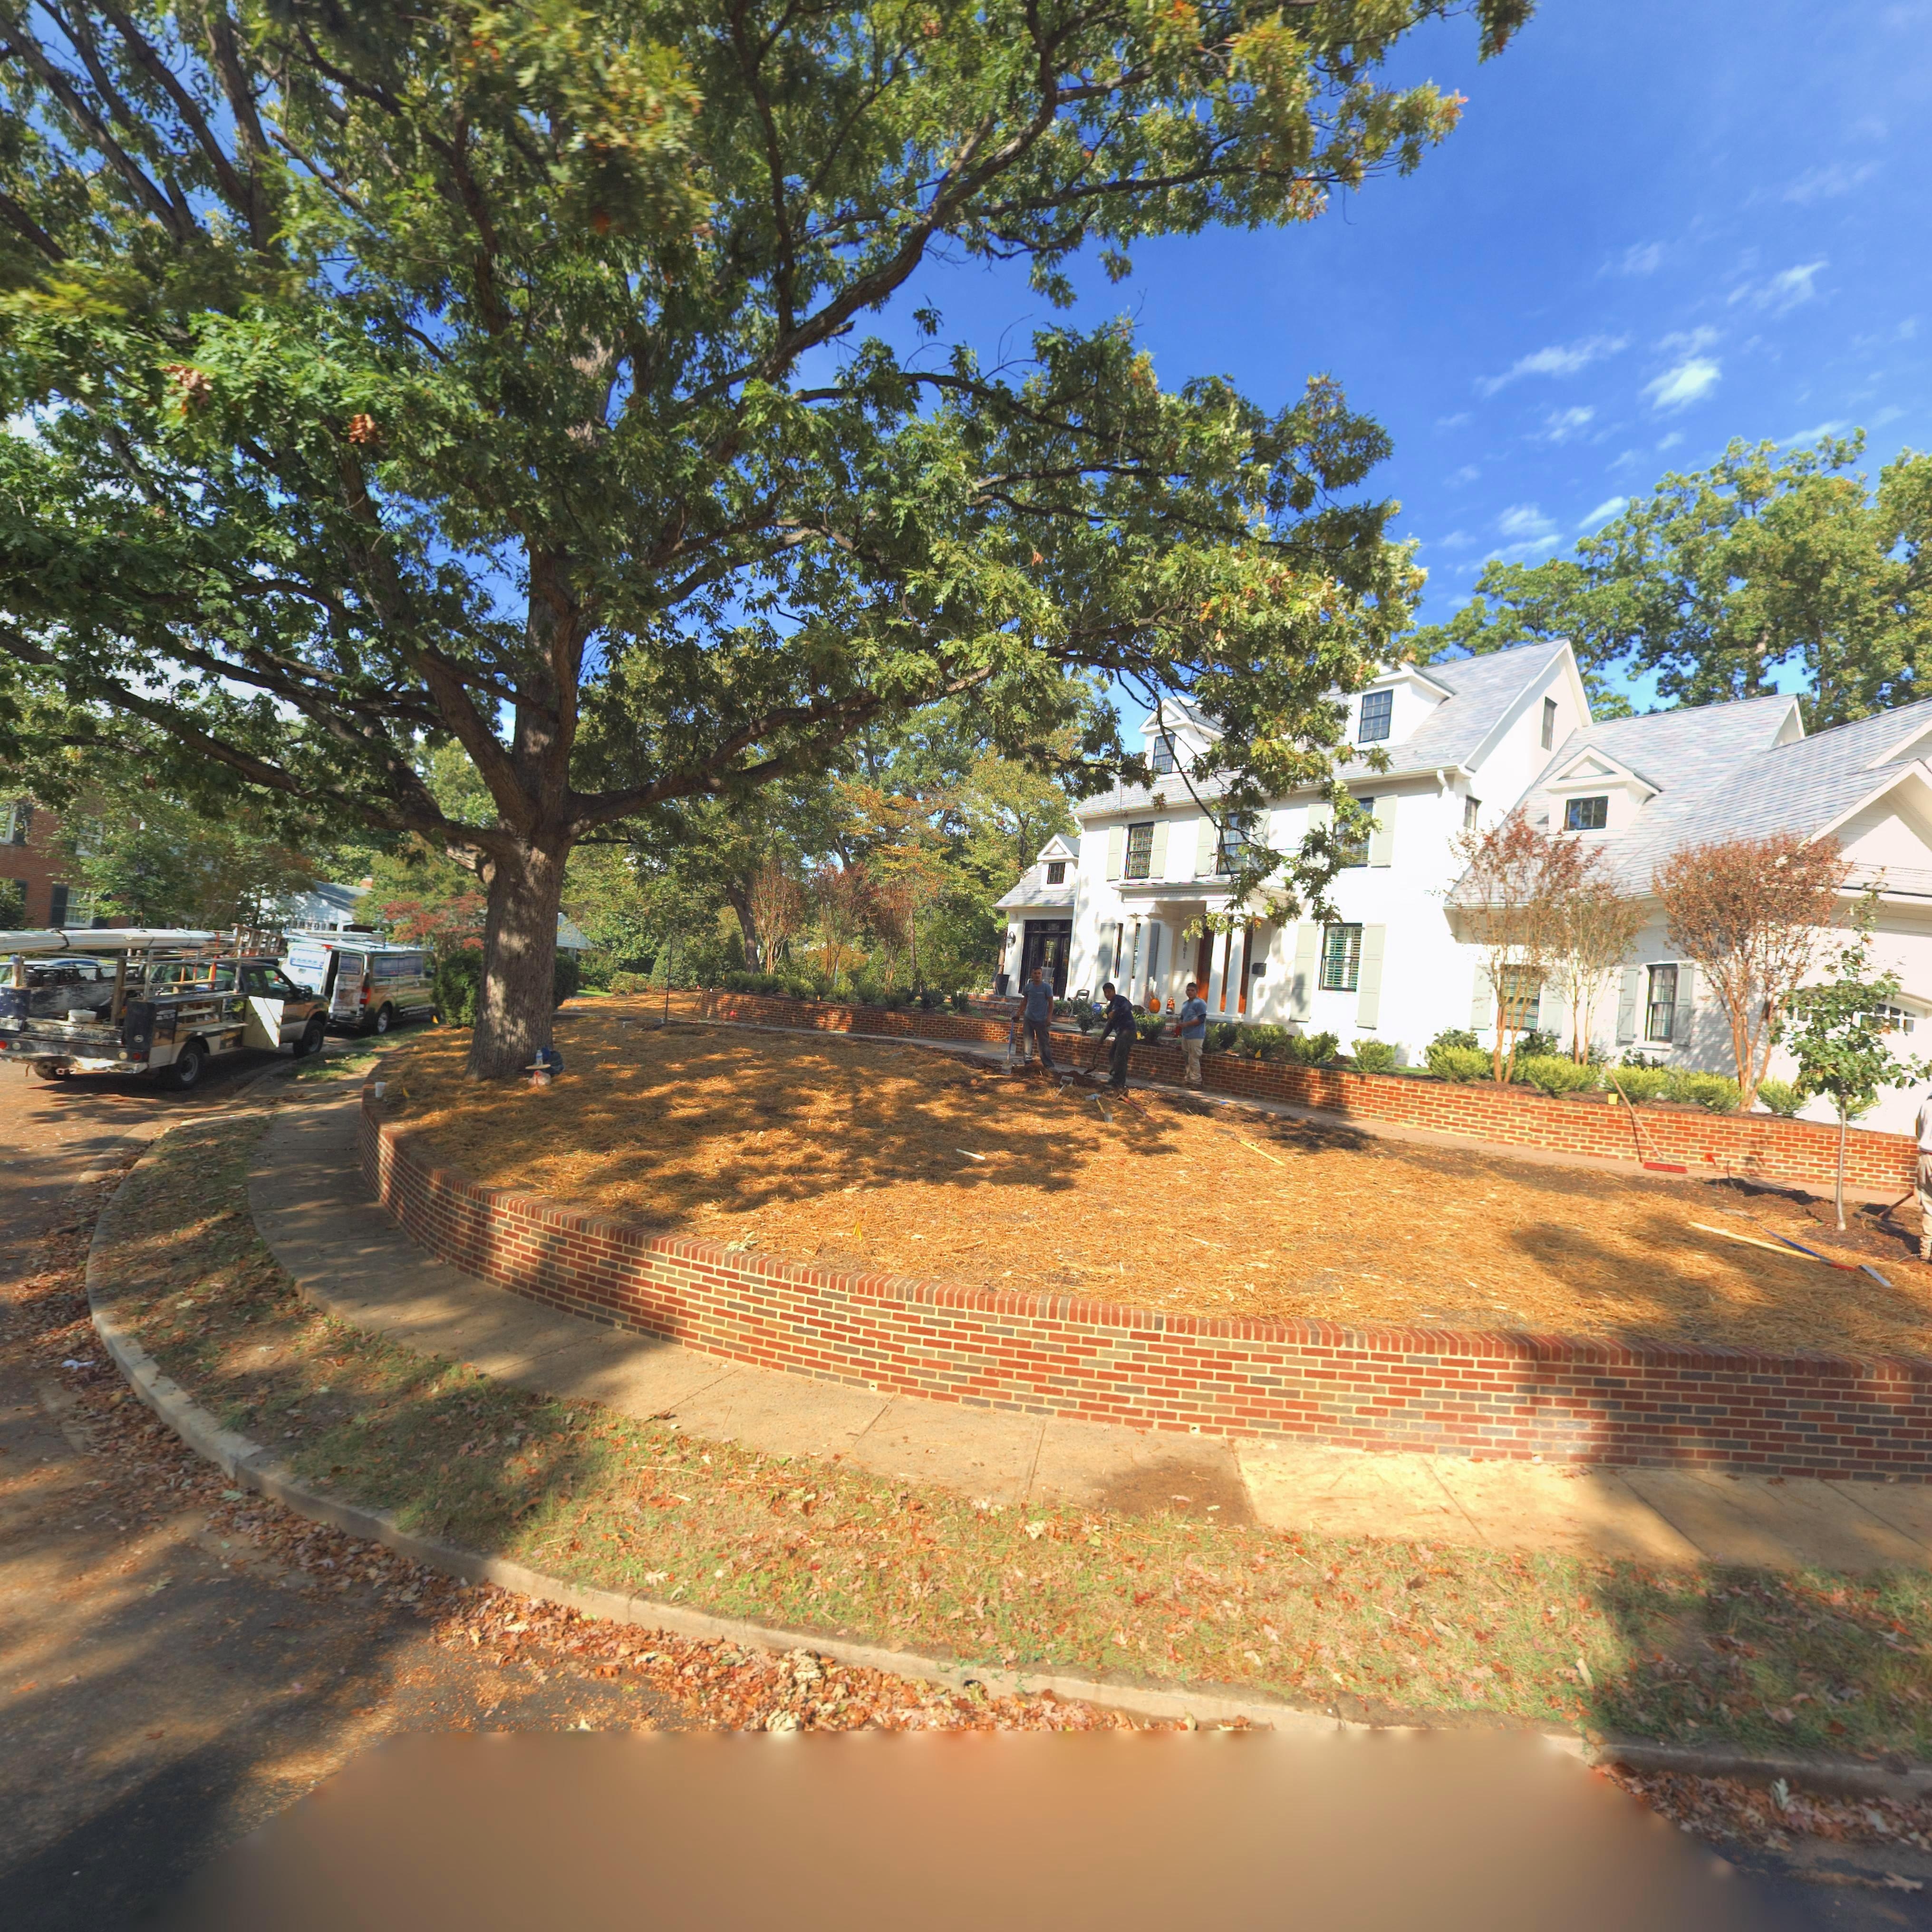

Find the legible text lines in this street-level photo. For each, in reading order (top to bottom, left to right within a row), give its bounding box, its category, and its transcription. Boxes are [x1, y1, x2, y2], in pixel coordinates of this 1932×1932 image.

[1182, 946, 1188, 960] StreetNumber: 01